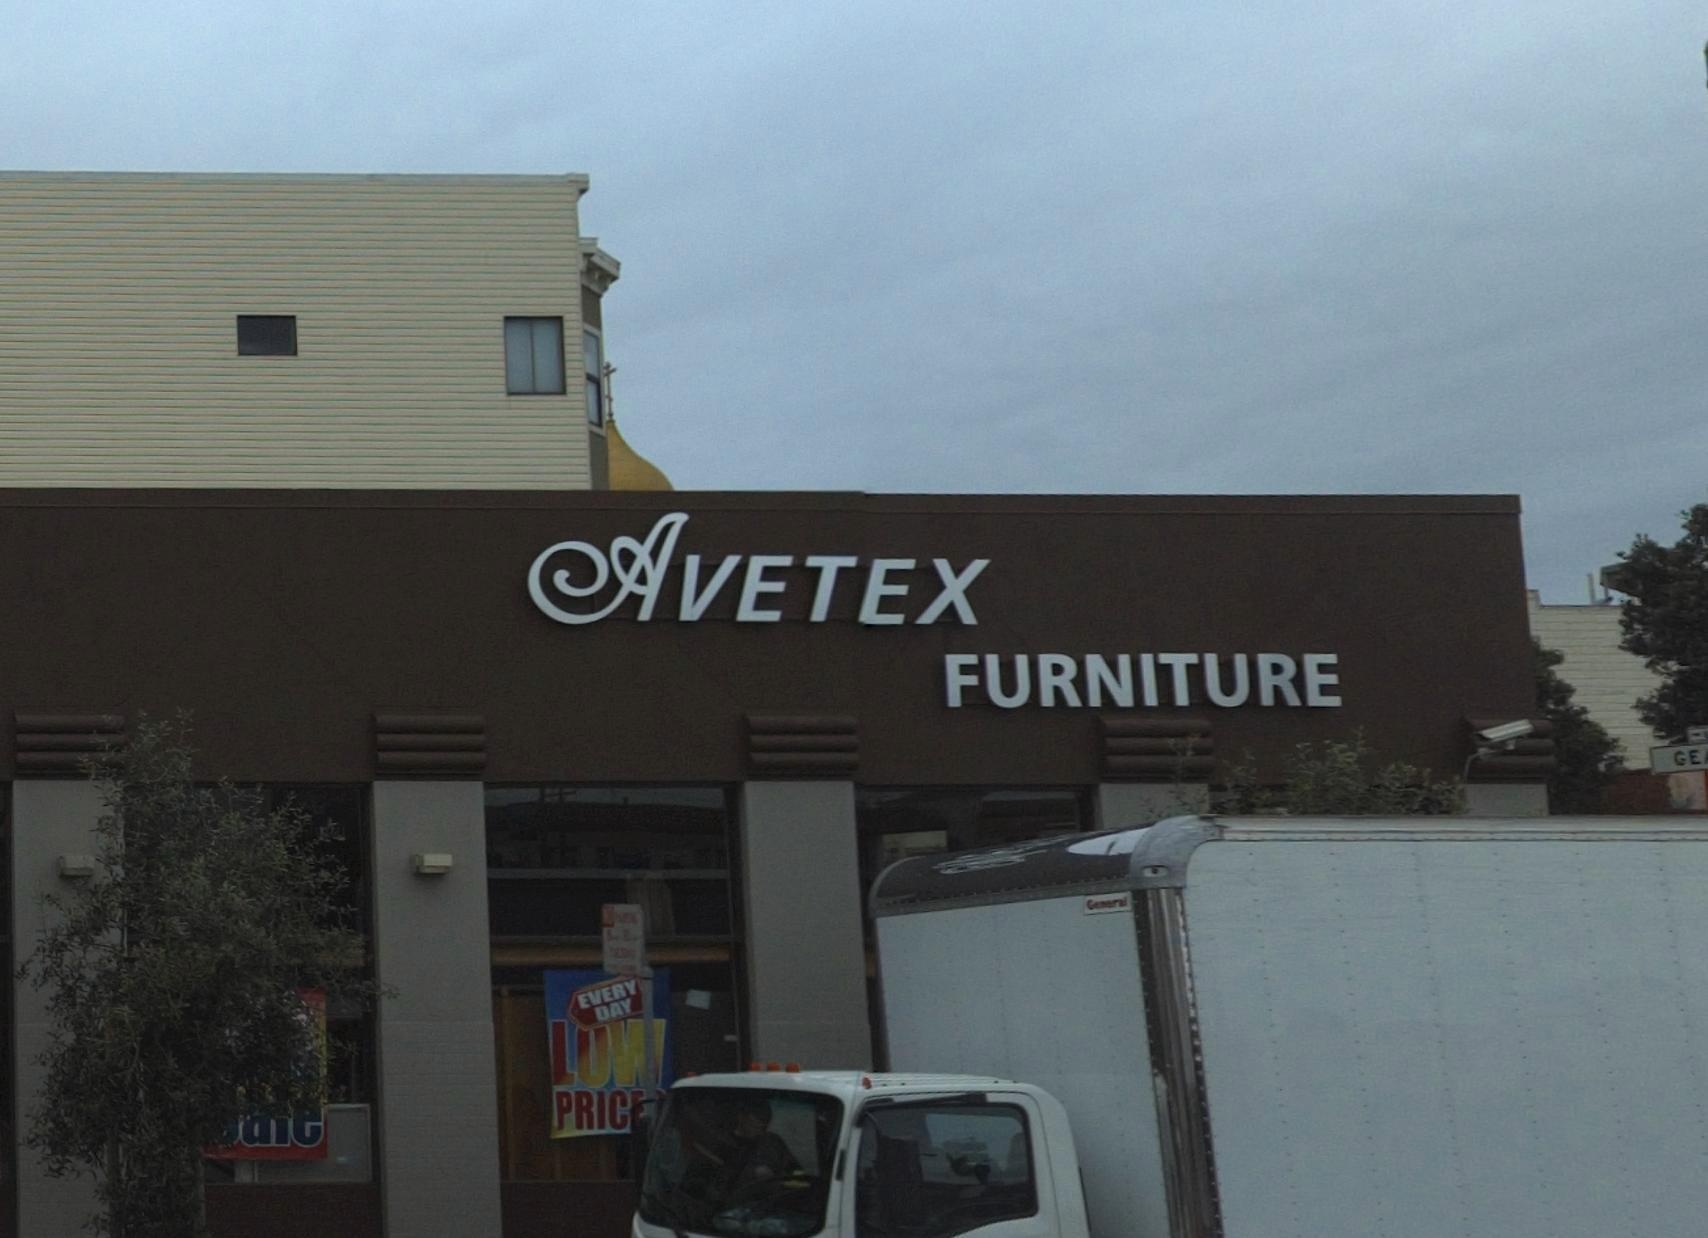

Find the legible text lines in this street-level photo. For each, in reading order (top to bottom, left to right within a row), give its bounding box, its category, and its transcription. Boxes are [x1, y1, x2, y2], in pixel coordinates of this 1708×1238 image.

[599, 508, 996, 630] BusinessName: AVETEX
[941, 650, 1346, 711] BusinessName: FURNITURE
[1670, 747, 1705, 769] StreetName: GE
[575, 974, 640, 1014] None: EVERY
[591, 994, 634, 1025] None: DAY
[546, 1015, 580, 1089] None: L
[553, 1087, 631, 1133] None: PRIC